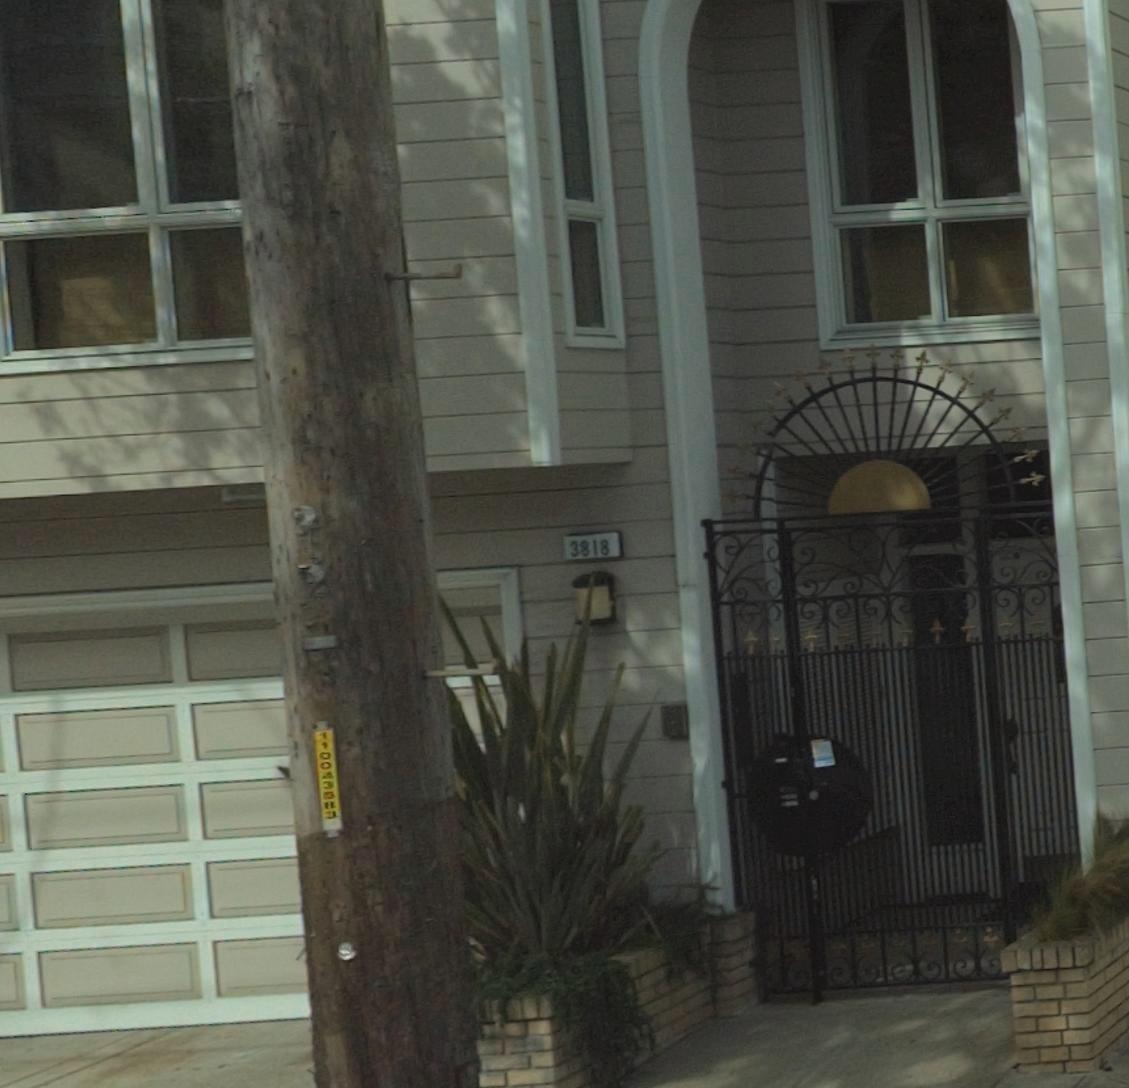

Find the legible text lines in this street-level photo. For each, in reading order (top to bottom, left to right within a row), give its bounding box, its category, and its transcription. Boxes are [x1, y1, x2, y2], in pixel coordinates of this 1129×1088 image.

[569, 538, 610, 558] StreetNumber: 3818
[316, 730, 338, 820] None: 110438*3